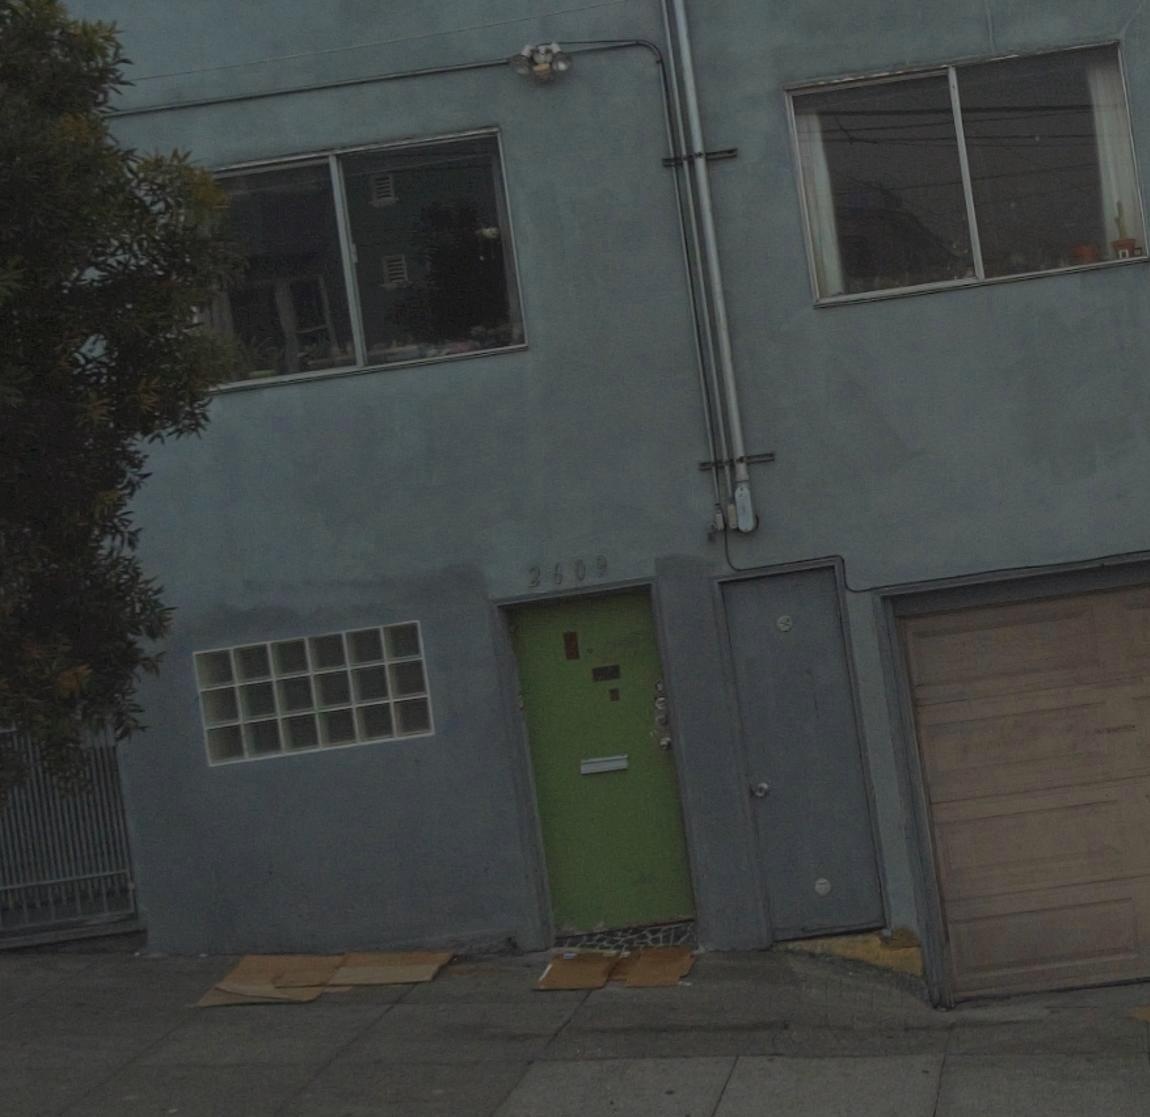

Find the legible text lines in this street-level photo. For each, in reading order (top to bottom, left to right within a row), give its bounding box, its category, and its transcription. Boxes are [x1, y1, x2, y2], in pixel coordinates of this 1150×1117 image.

[526, 553, 610, 590] StreetNumber: 2609